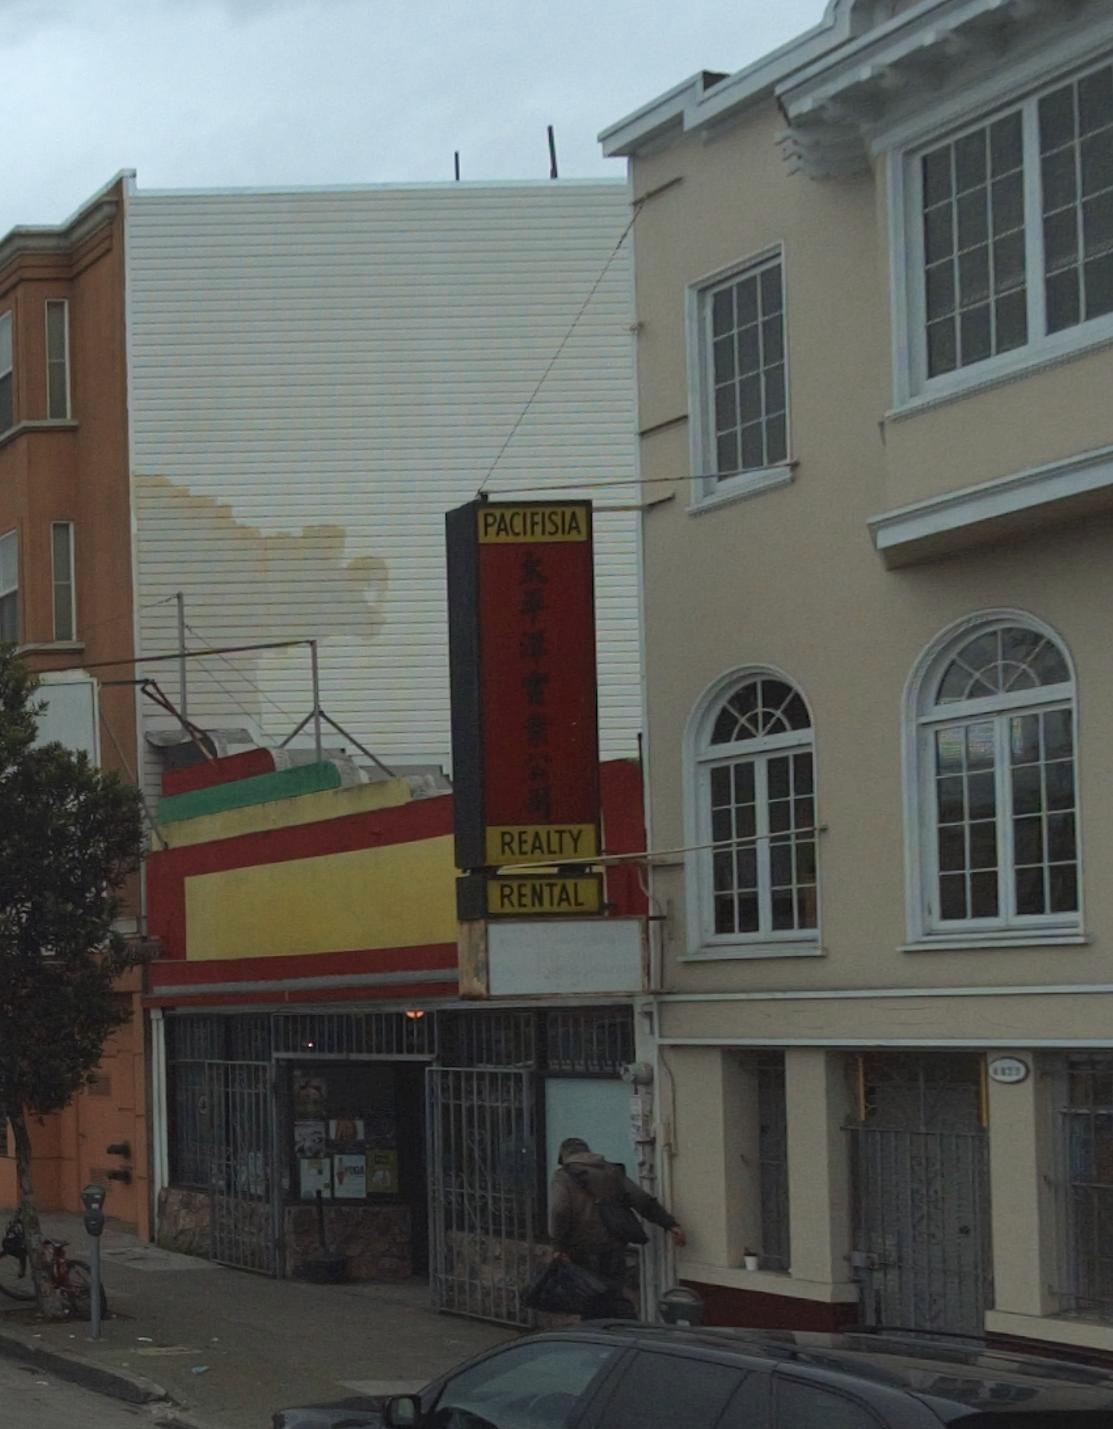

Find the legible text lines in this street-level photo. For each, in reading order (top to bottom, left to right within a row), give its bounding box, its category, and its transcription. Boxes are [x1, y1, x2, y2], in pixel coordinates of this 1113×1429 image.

[480, 508, 583, 540] BusinessName: PACIFISIA
[499, 826, 586, 857] BusinessName: REALTY
[498, 880, 587, 910] None: RENTAL
[990, 1064, 1022, 1078] StreetNumber: 4*2*